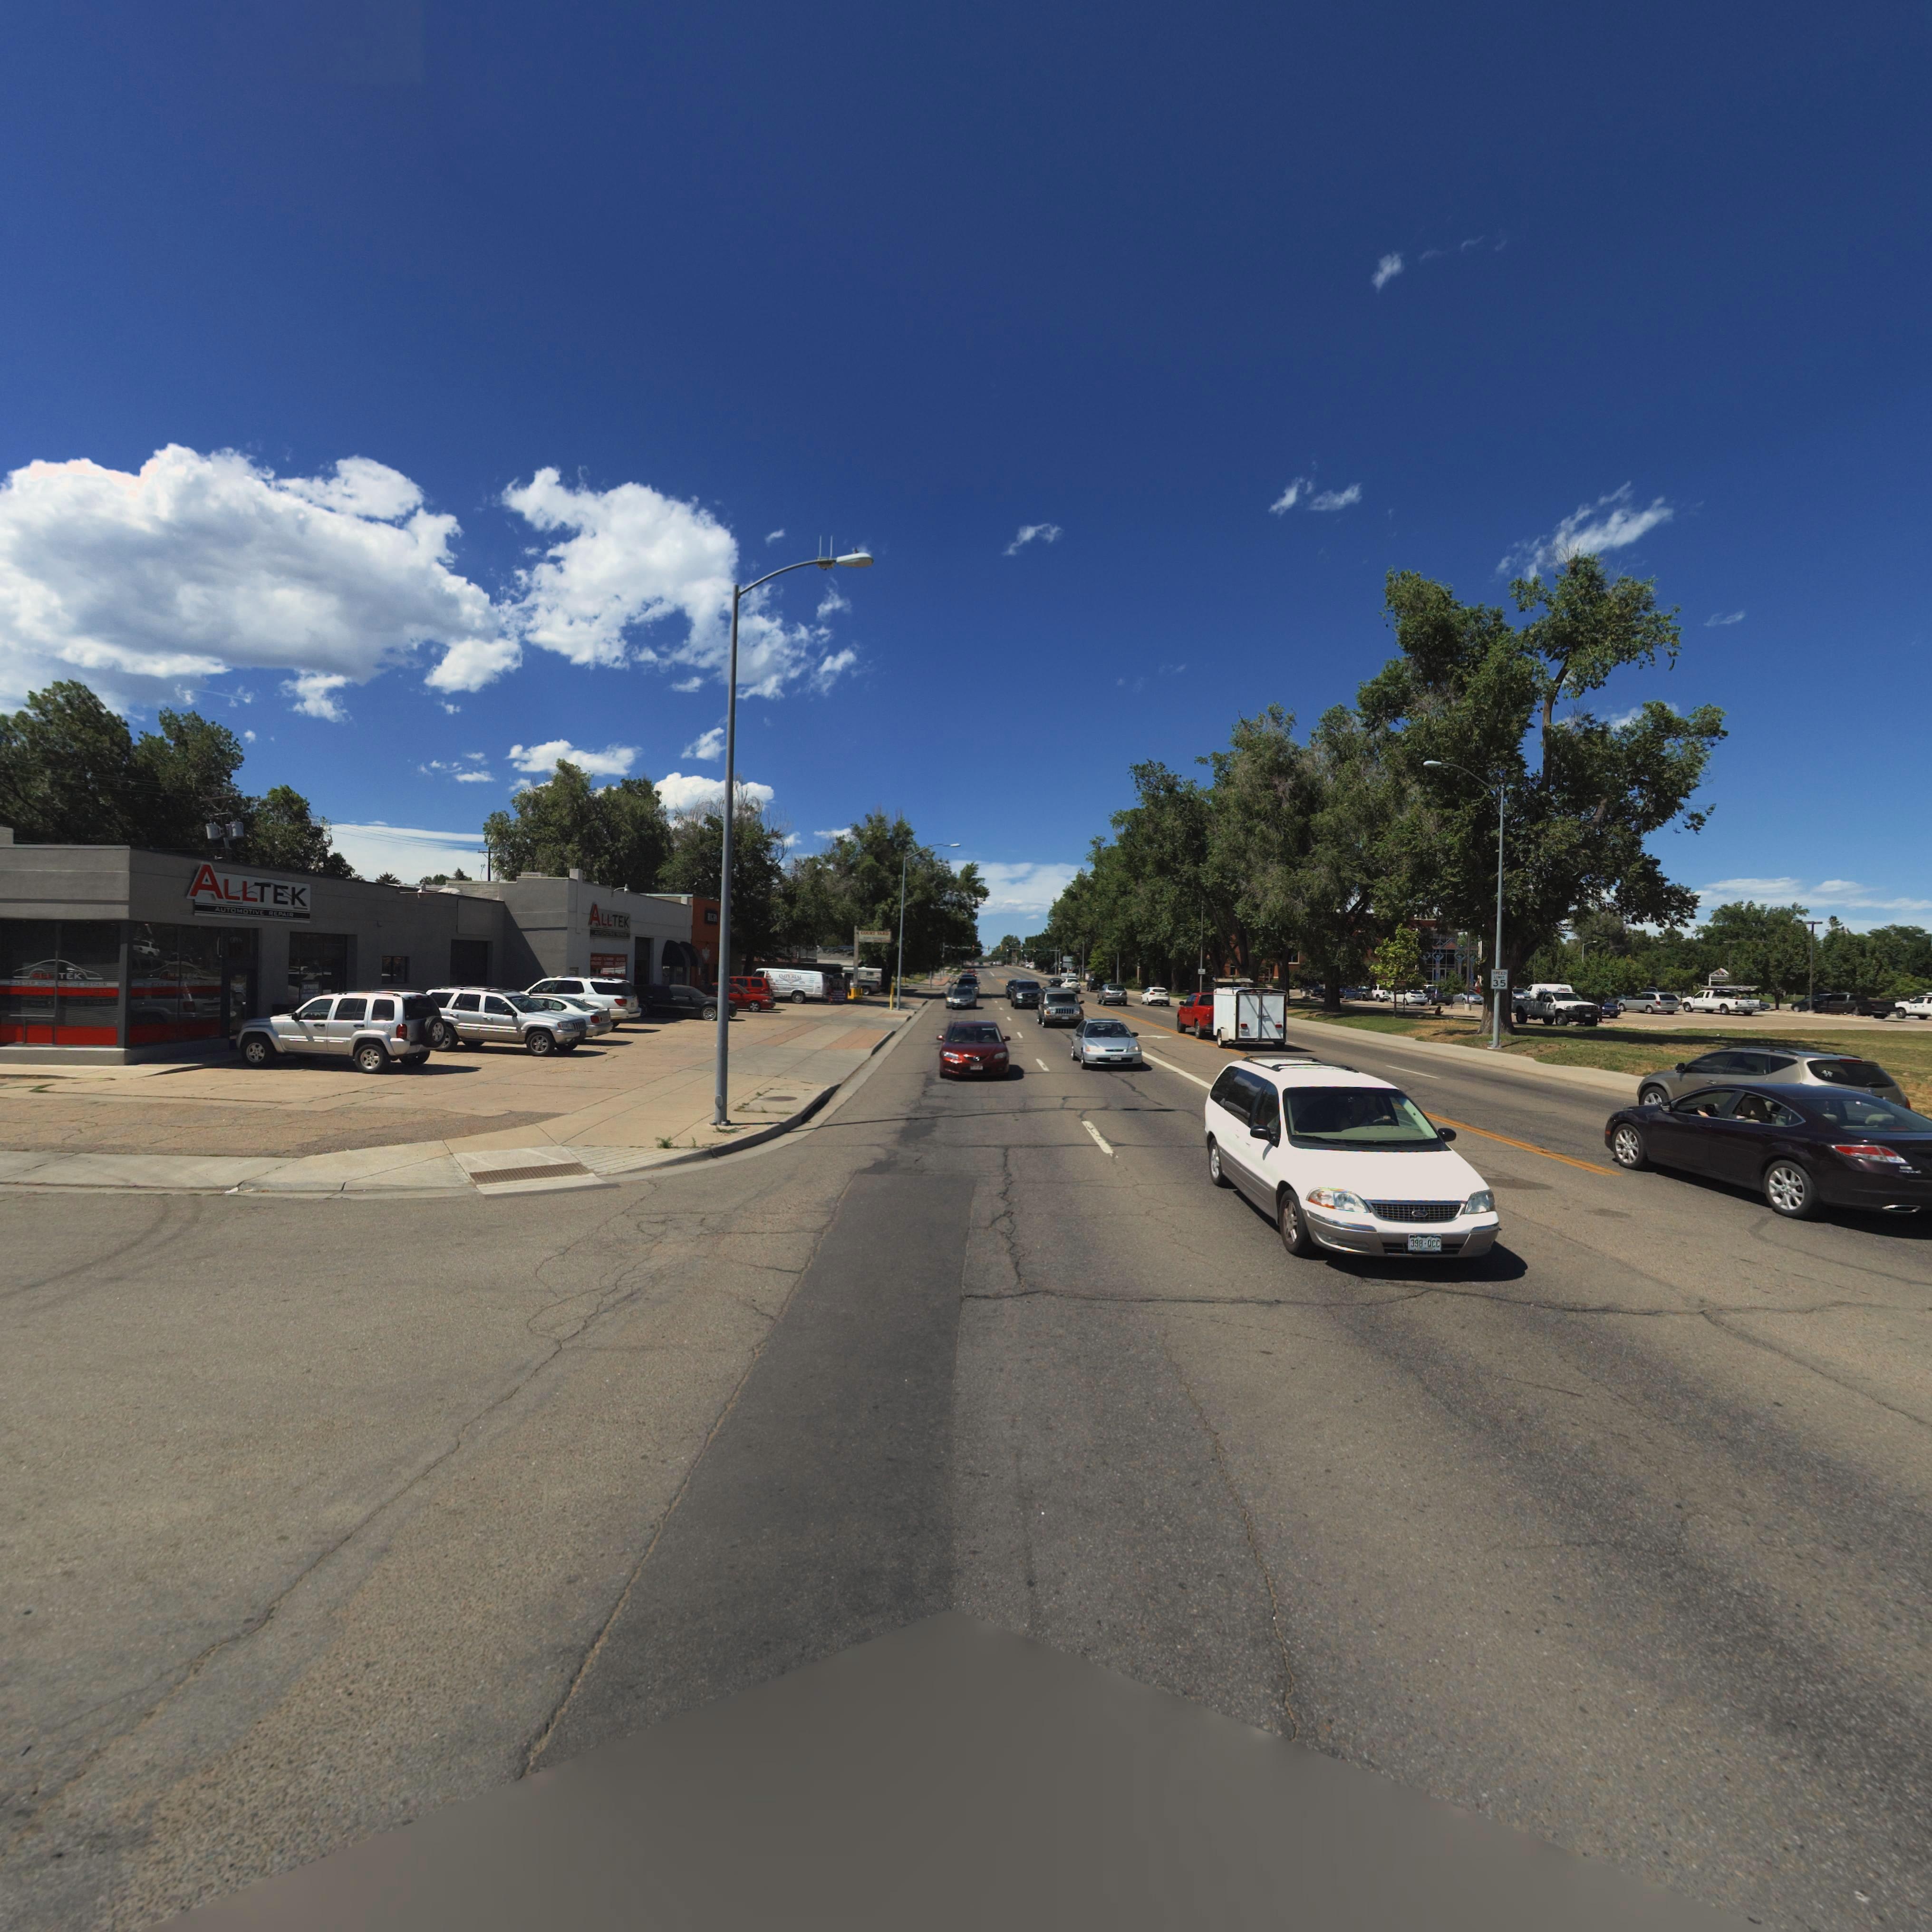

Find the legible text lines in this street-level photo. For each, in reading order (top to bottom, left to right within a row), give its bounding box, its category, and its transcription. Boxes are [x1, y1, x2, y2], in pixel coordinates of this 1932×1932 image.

[187, 862, 308, 907] BusinessName: ALLTEK
[588, 903, 629, 928] BusinessName: ALLTEK
[707, 912, 717, 922] BusinessName: R*G***
[31, 972, 81, 979] BusinessName: ALL TEK
[181, 973, 198, 979] BusinessName: TEK